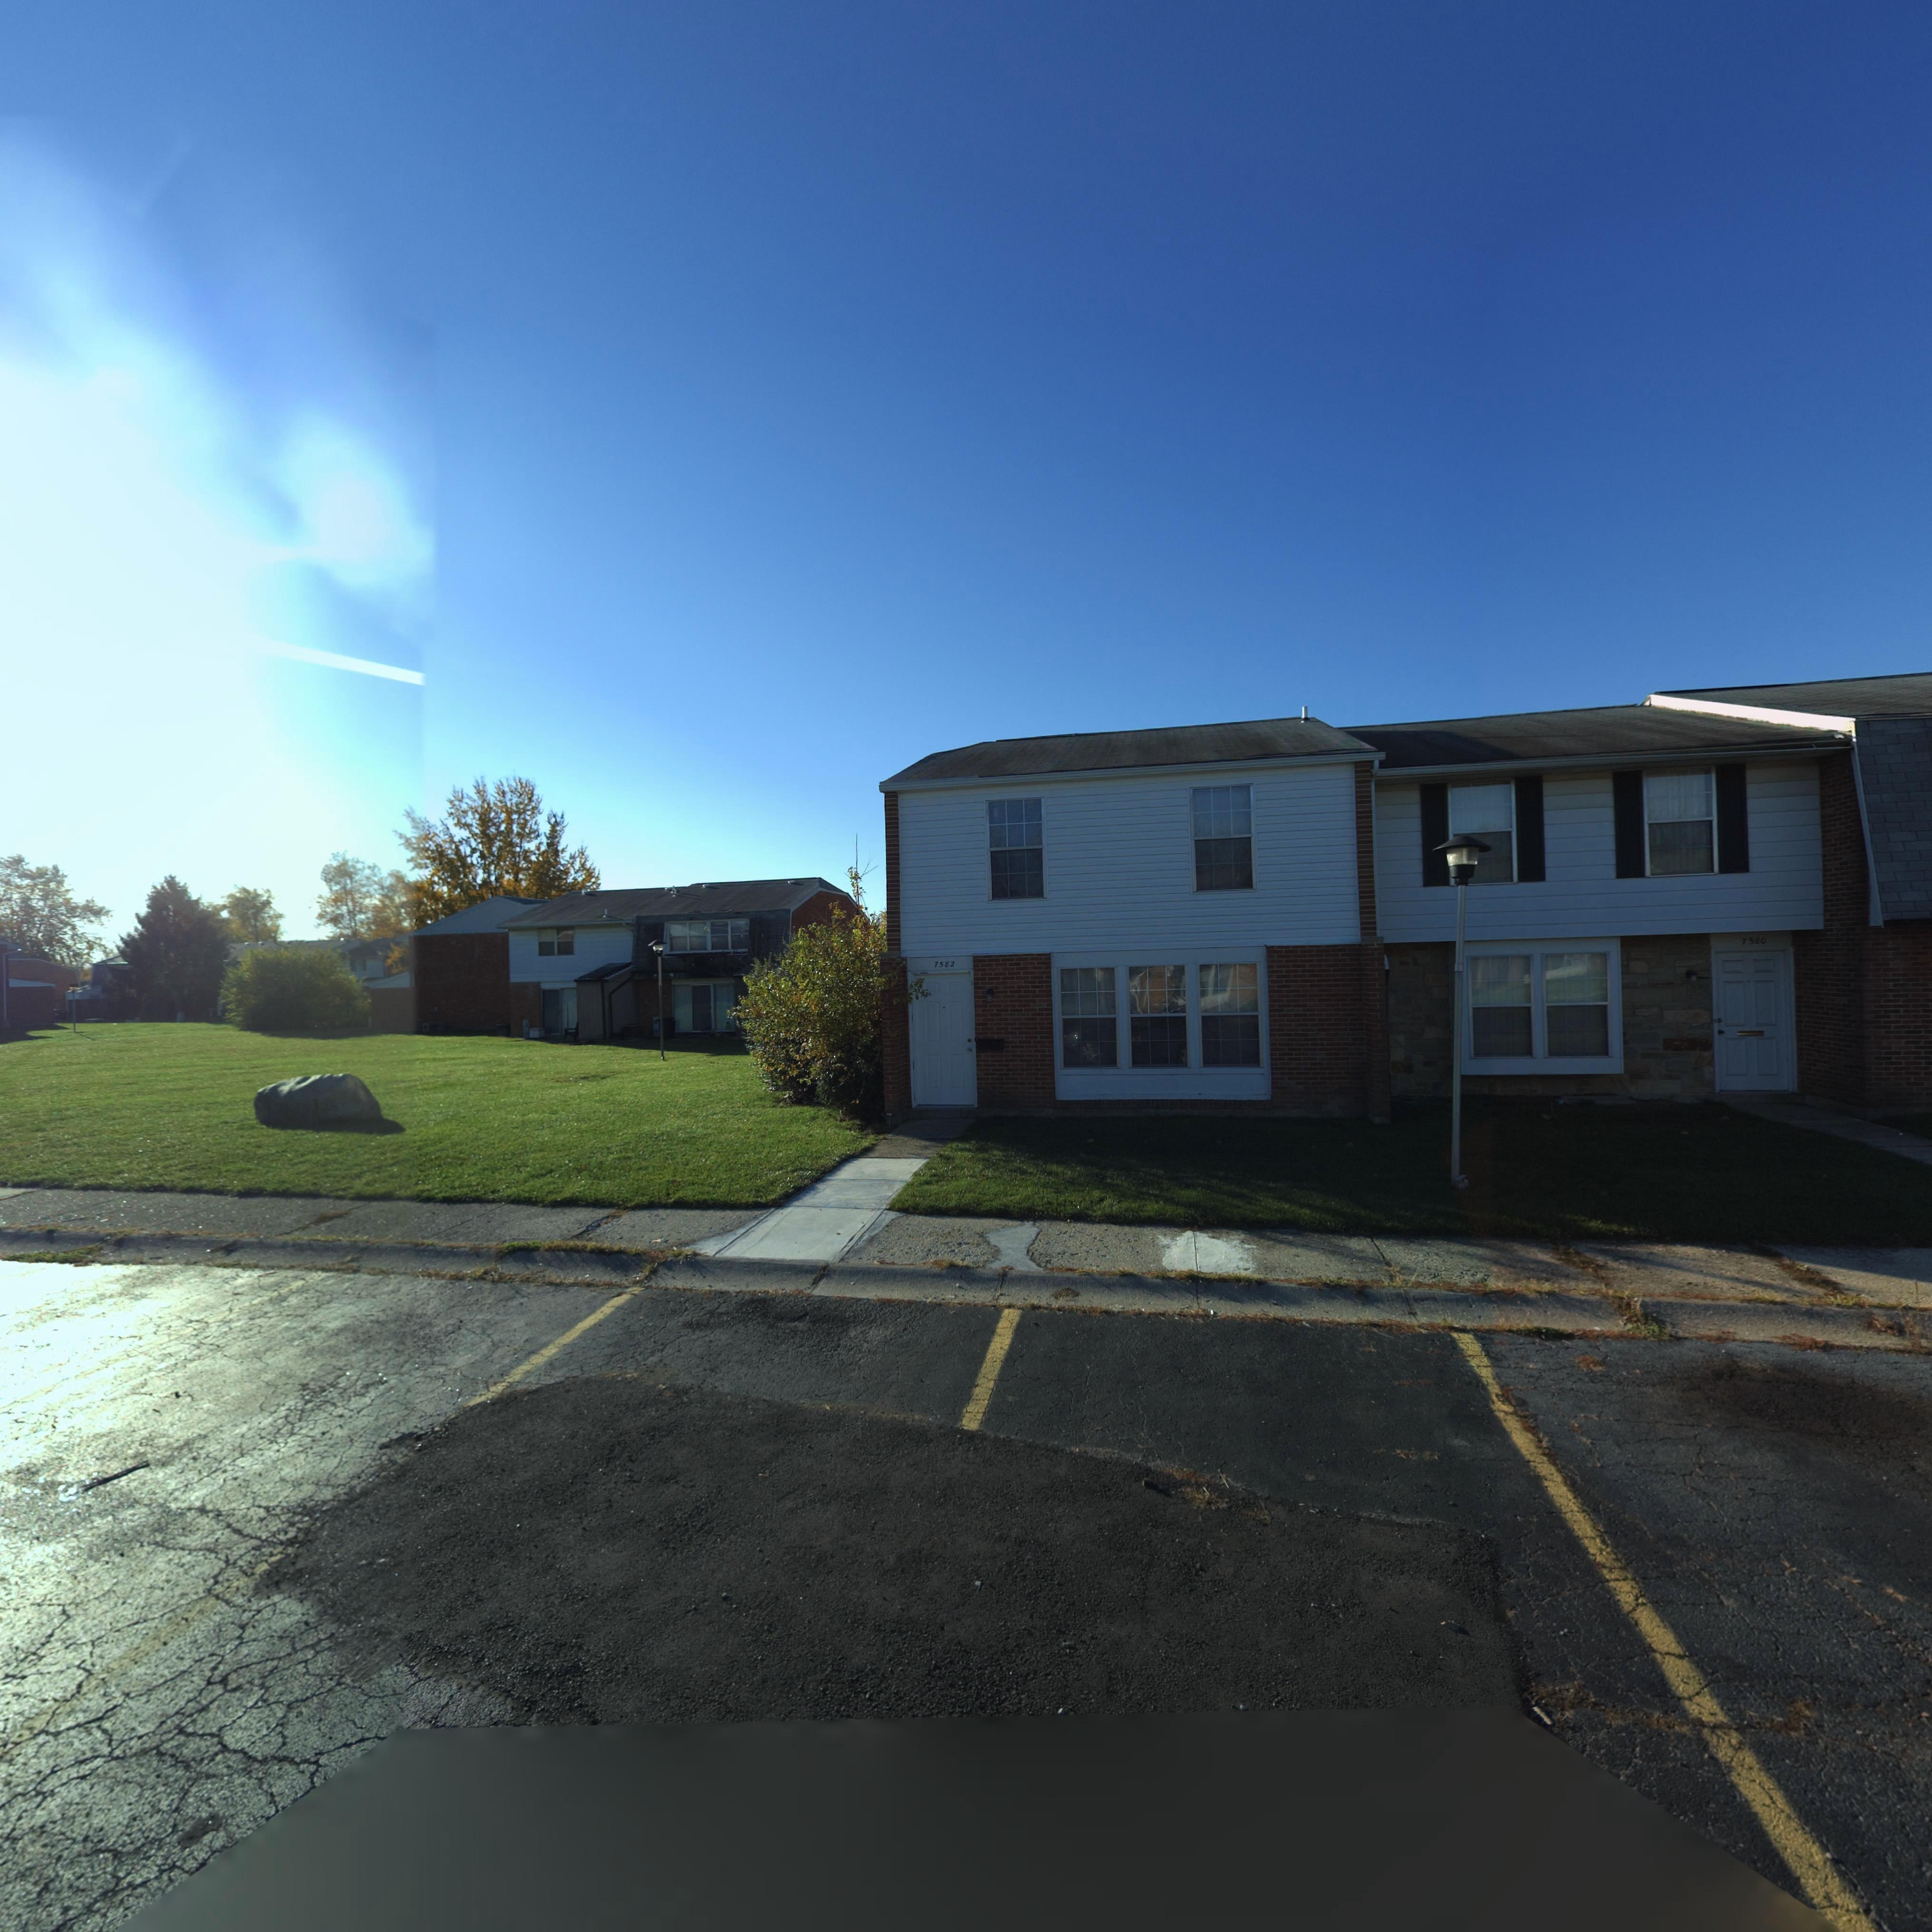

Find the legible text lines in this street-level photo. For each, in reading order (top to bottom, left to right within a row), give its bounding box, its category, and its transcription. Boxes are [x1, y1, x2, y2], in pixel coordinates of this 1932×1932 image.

[1739, 935, 1768, 947] StreetNumber: 7580
[933, 960, 956, 969] StreetNumber: 7582